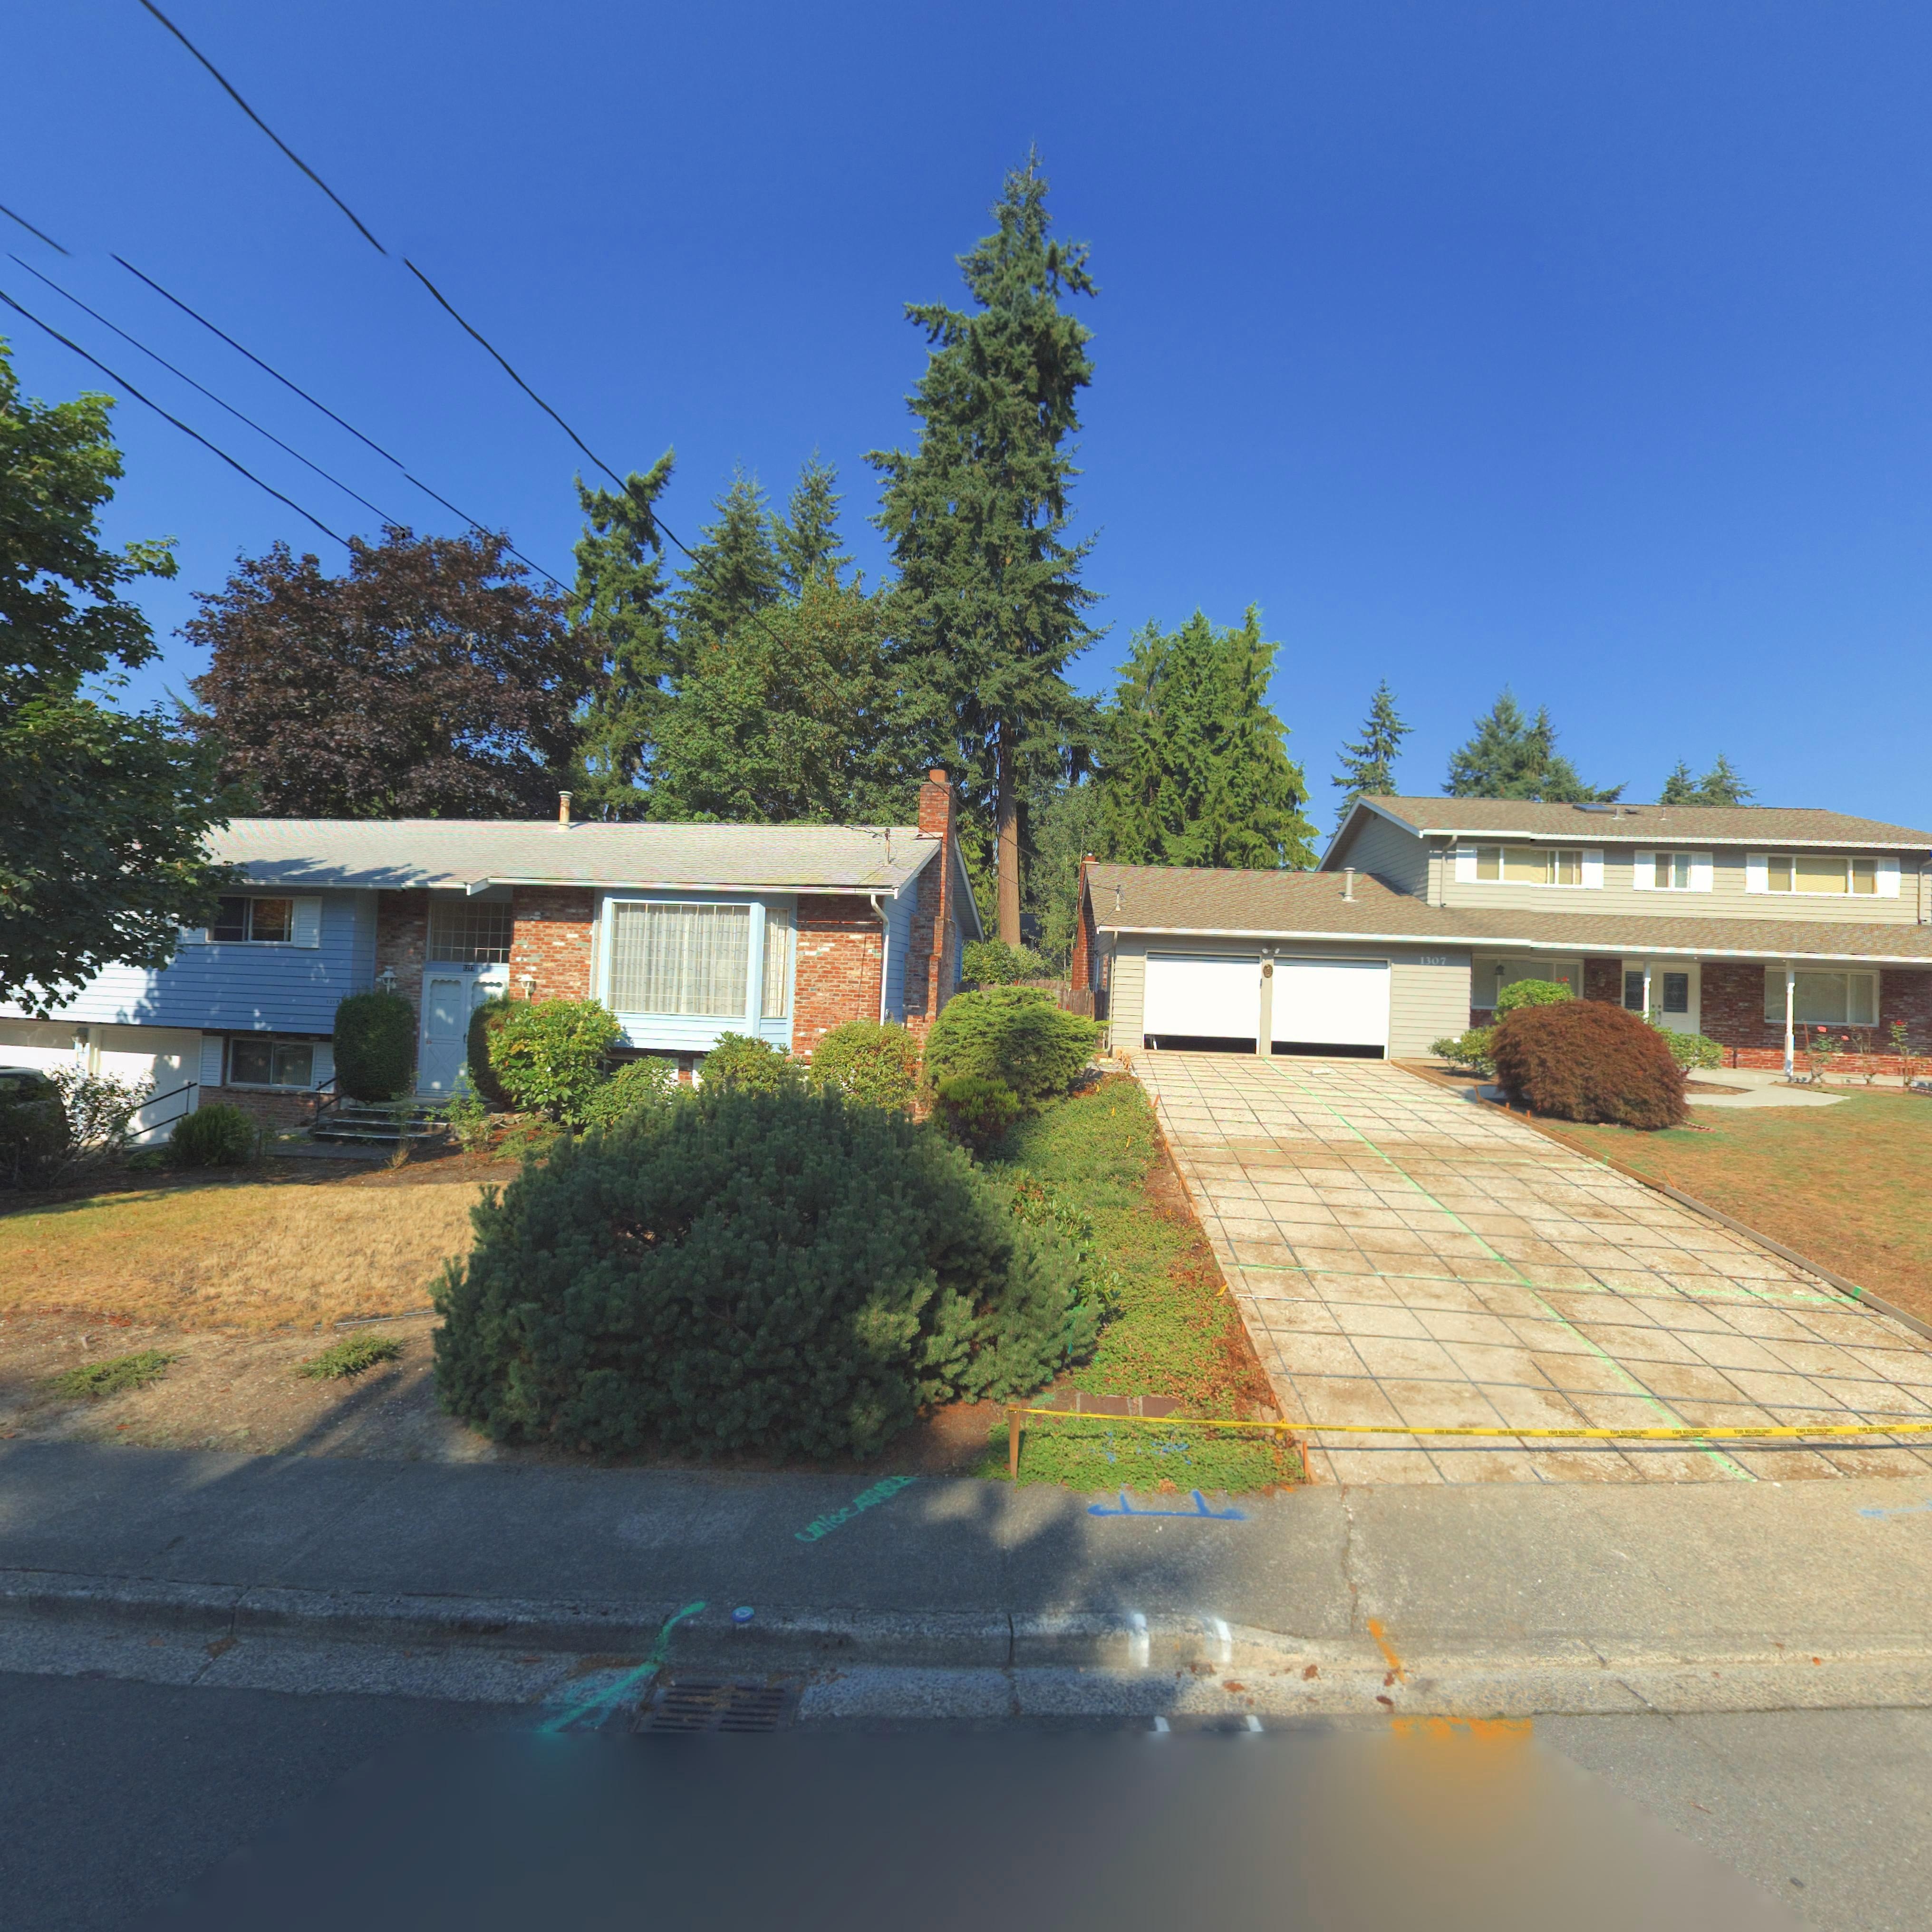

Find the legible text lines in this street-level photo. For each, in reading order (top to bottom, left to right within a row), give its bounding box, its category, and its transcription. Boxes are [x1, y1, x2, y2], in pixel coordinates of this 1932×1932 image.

[1419, 956, 1447, 965] StreetNumber: 1307
[463, 965, 475, 971] StreetNumber: 1217
[325, 999, 340, 1004] StreetNumber: 1217